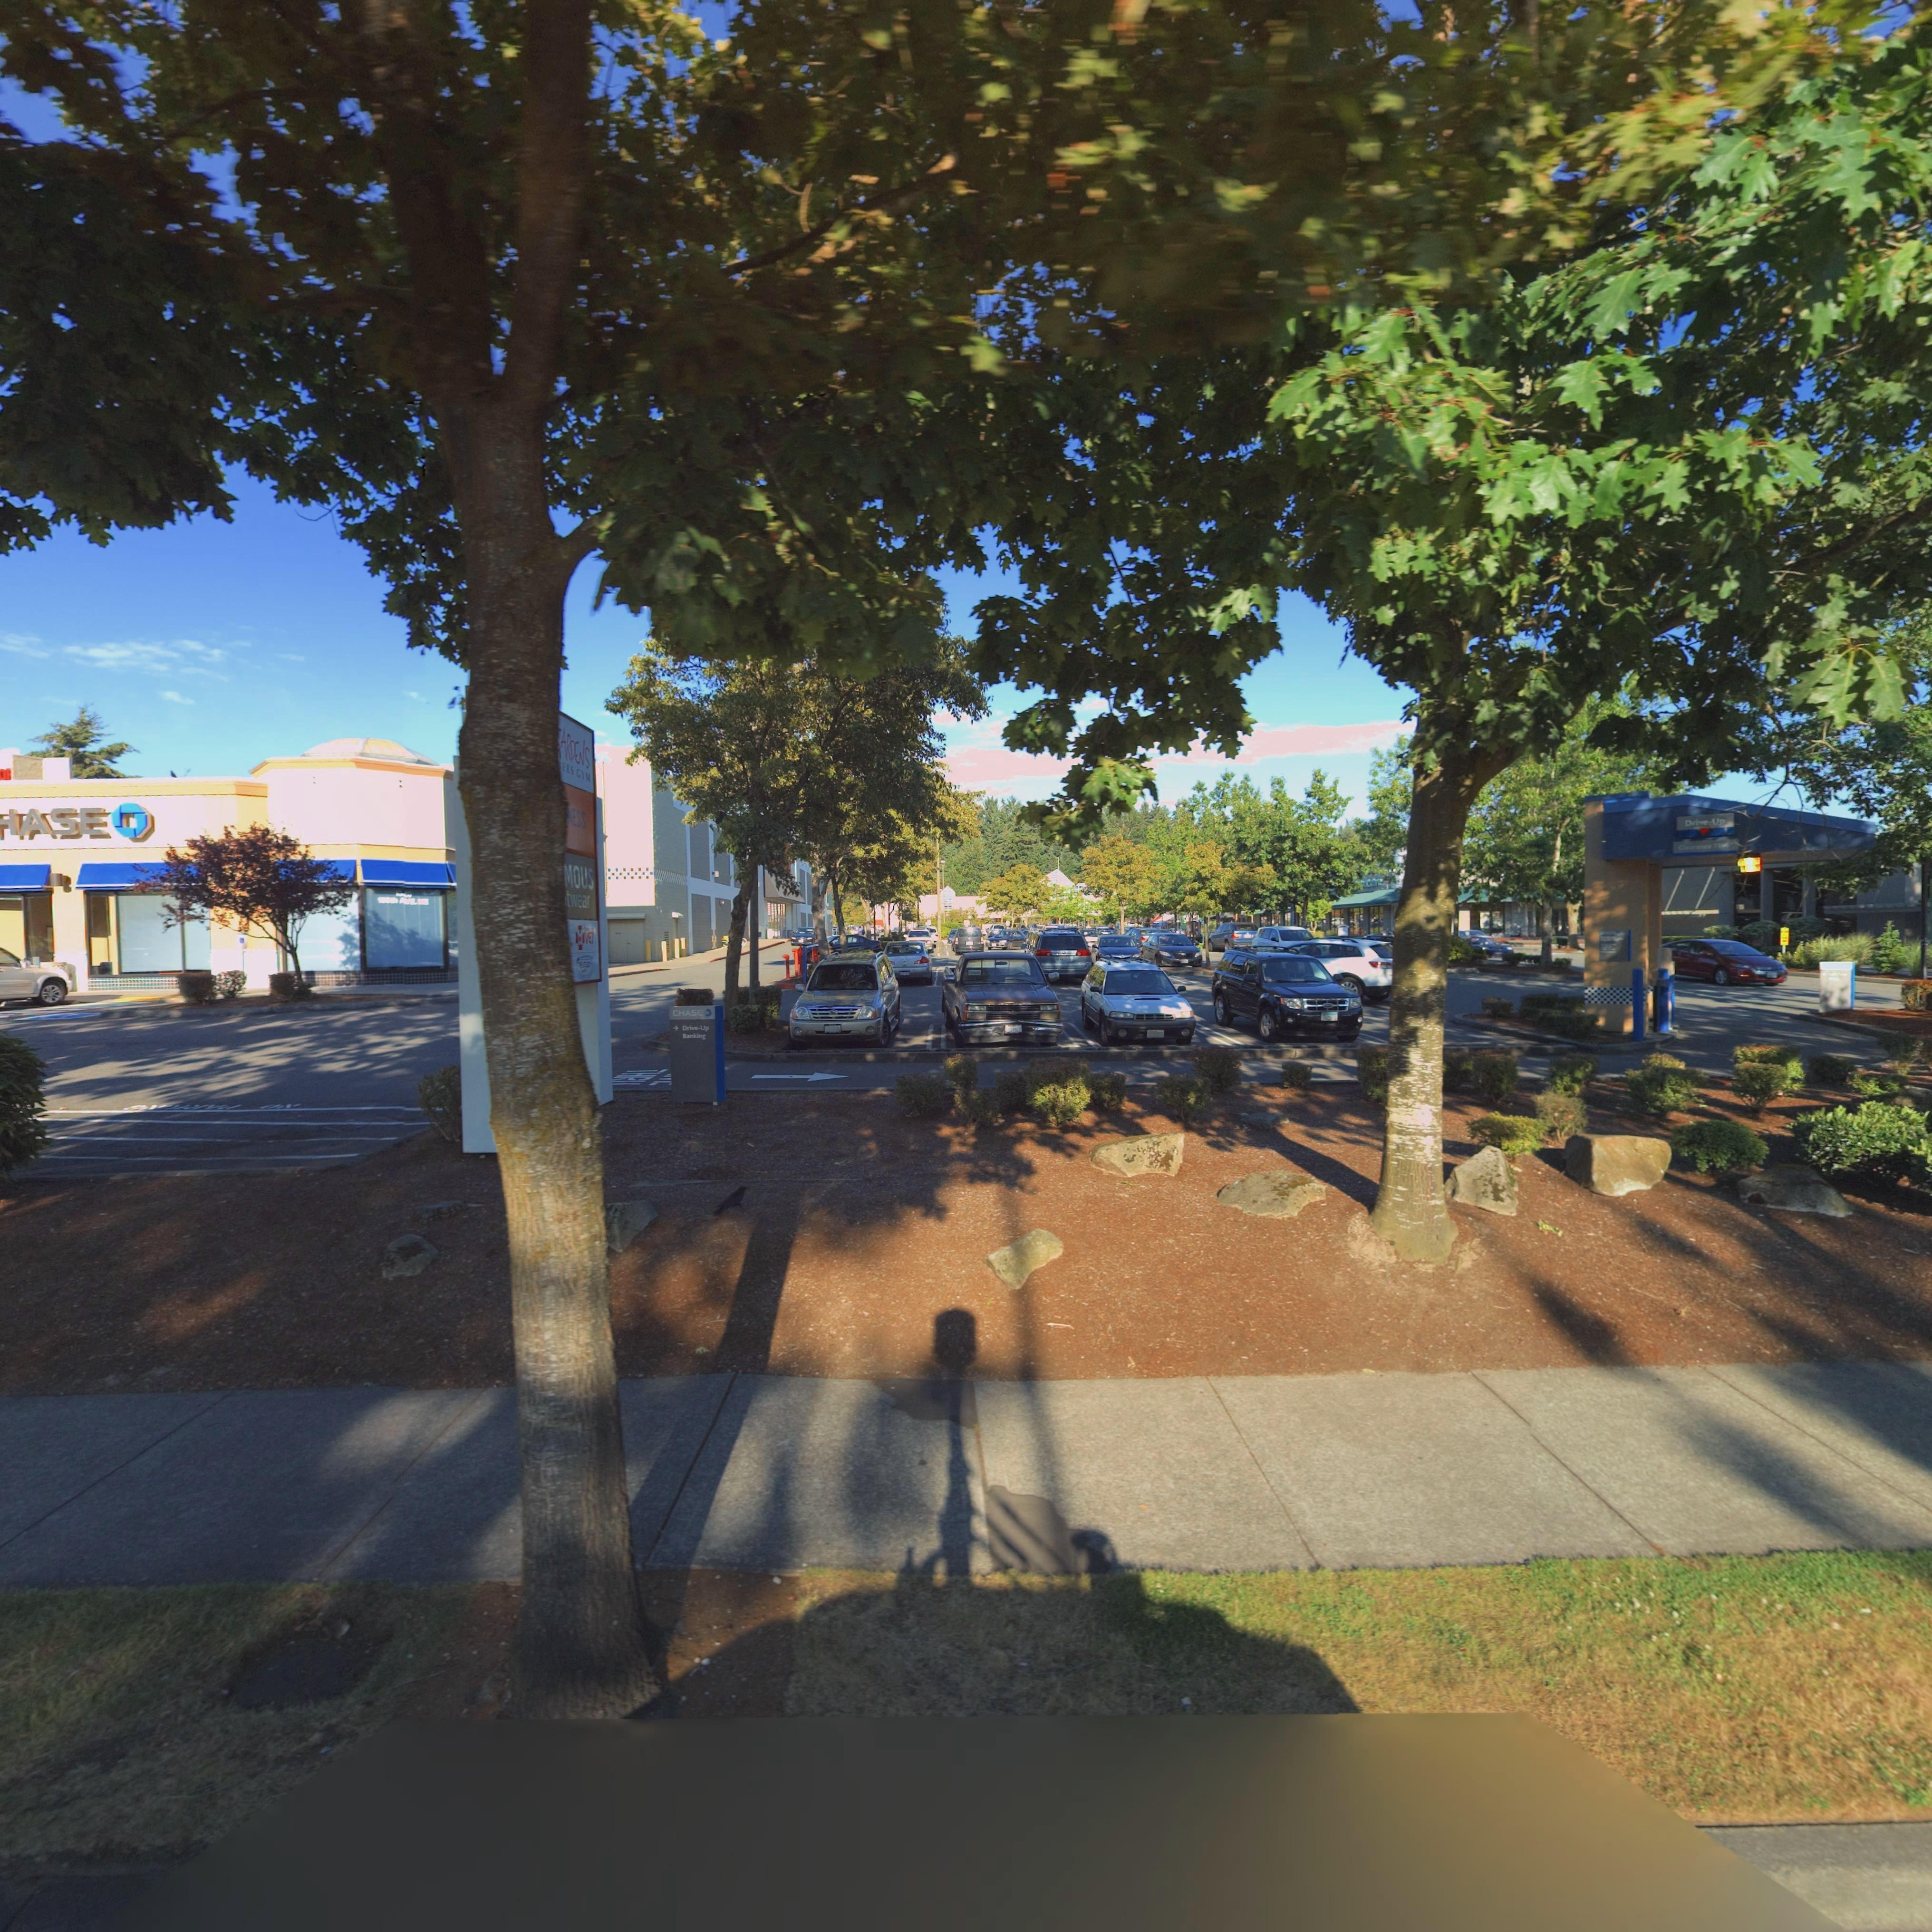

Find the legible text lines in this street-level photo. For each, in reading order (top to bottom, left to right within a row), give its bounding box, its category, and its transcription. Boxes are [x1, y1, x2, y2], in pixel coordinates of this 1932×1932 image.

[555, 726, 590, 769] BusinessName: *ARDENS
[559, 761, 590, 783] BusinessName: *ERS GYM
[0, 807, 106, 837] BusinessName: *ASE
[565, 806, 587, 830] BusinessName: *ESS
[563, 863, 594, 891] BusinessName: MOUS
[564, 890, 591, 908] BusinessName: twear
[583, 930, 595, 944] BusinessName: VET
[673, 1010, 702, 1015] BusinessName: CHASE